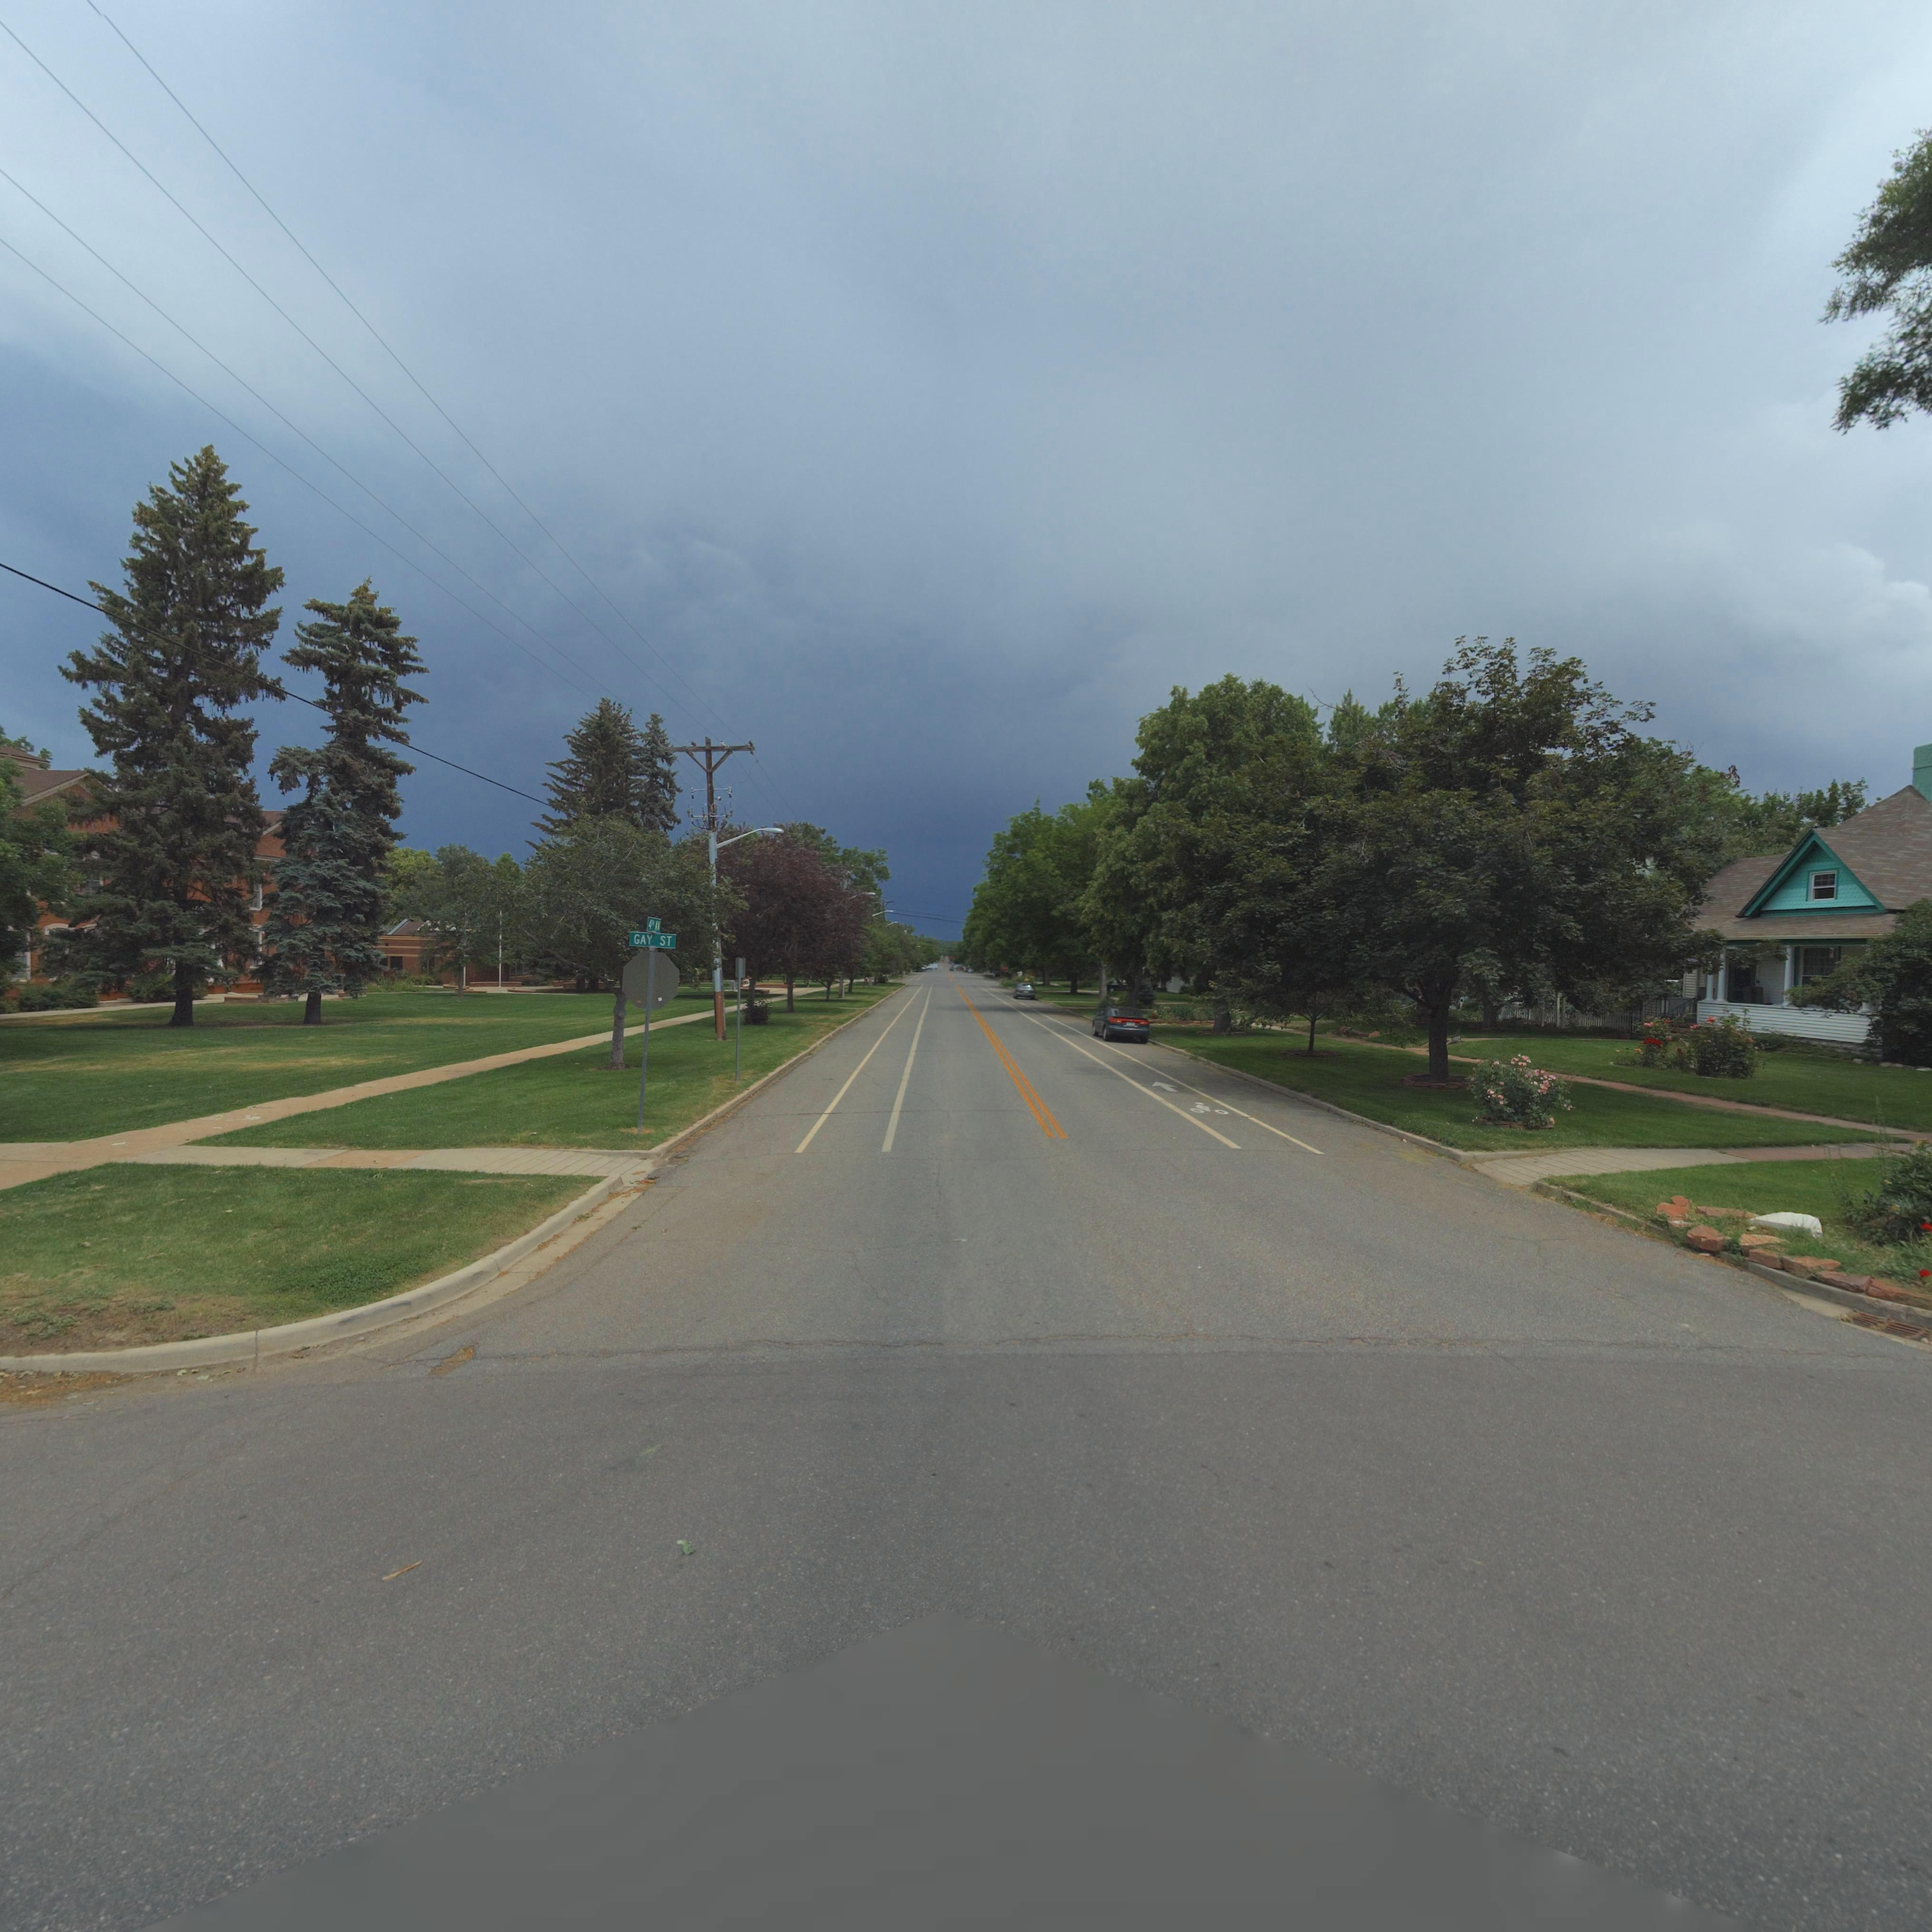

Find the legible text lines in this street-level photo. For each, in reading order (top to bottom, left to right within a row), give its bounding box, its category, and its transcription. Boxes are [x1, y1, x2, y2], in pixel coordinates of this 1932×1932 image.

[647, 919, 660, 931] StreetName: 4TH AV
[633, 933, 673, 947] StreetName: GAY ST